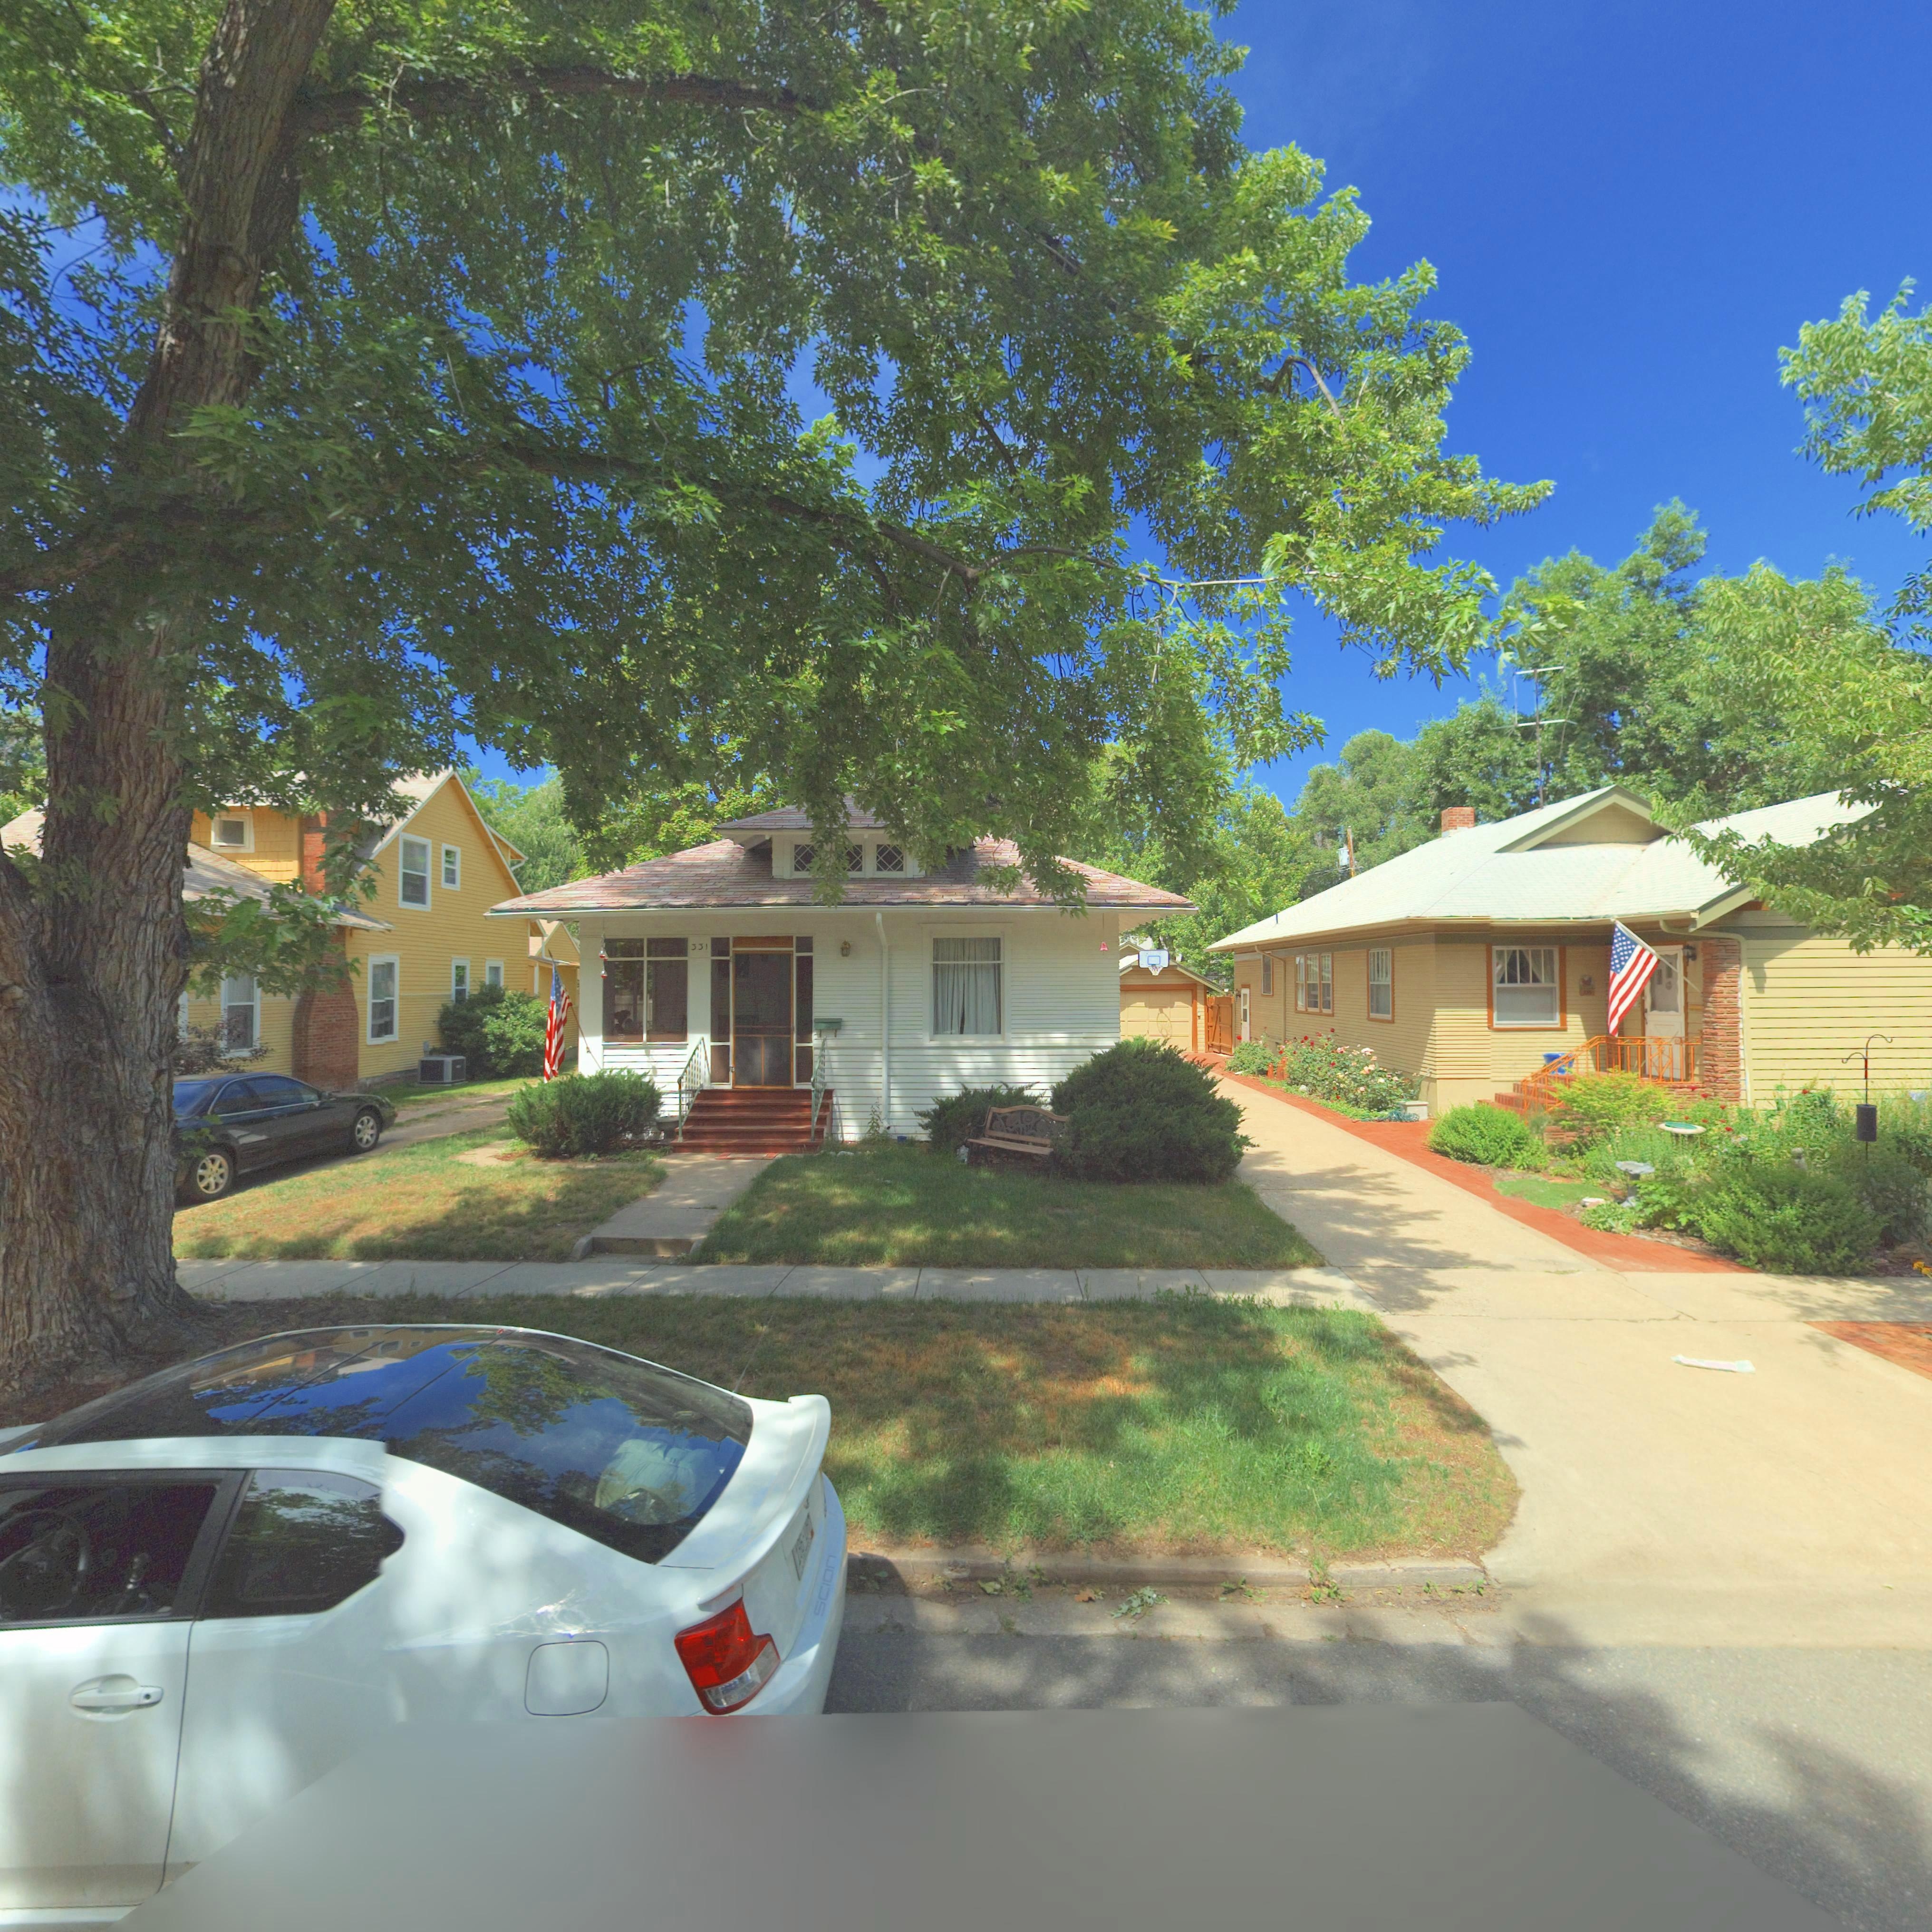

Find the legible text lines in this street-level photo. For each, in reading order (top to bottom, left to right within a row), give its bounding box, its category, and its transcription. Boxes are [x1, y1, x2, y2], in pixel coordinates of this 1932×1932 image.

[691, 943, 707, 950] StreetNumber: 331